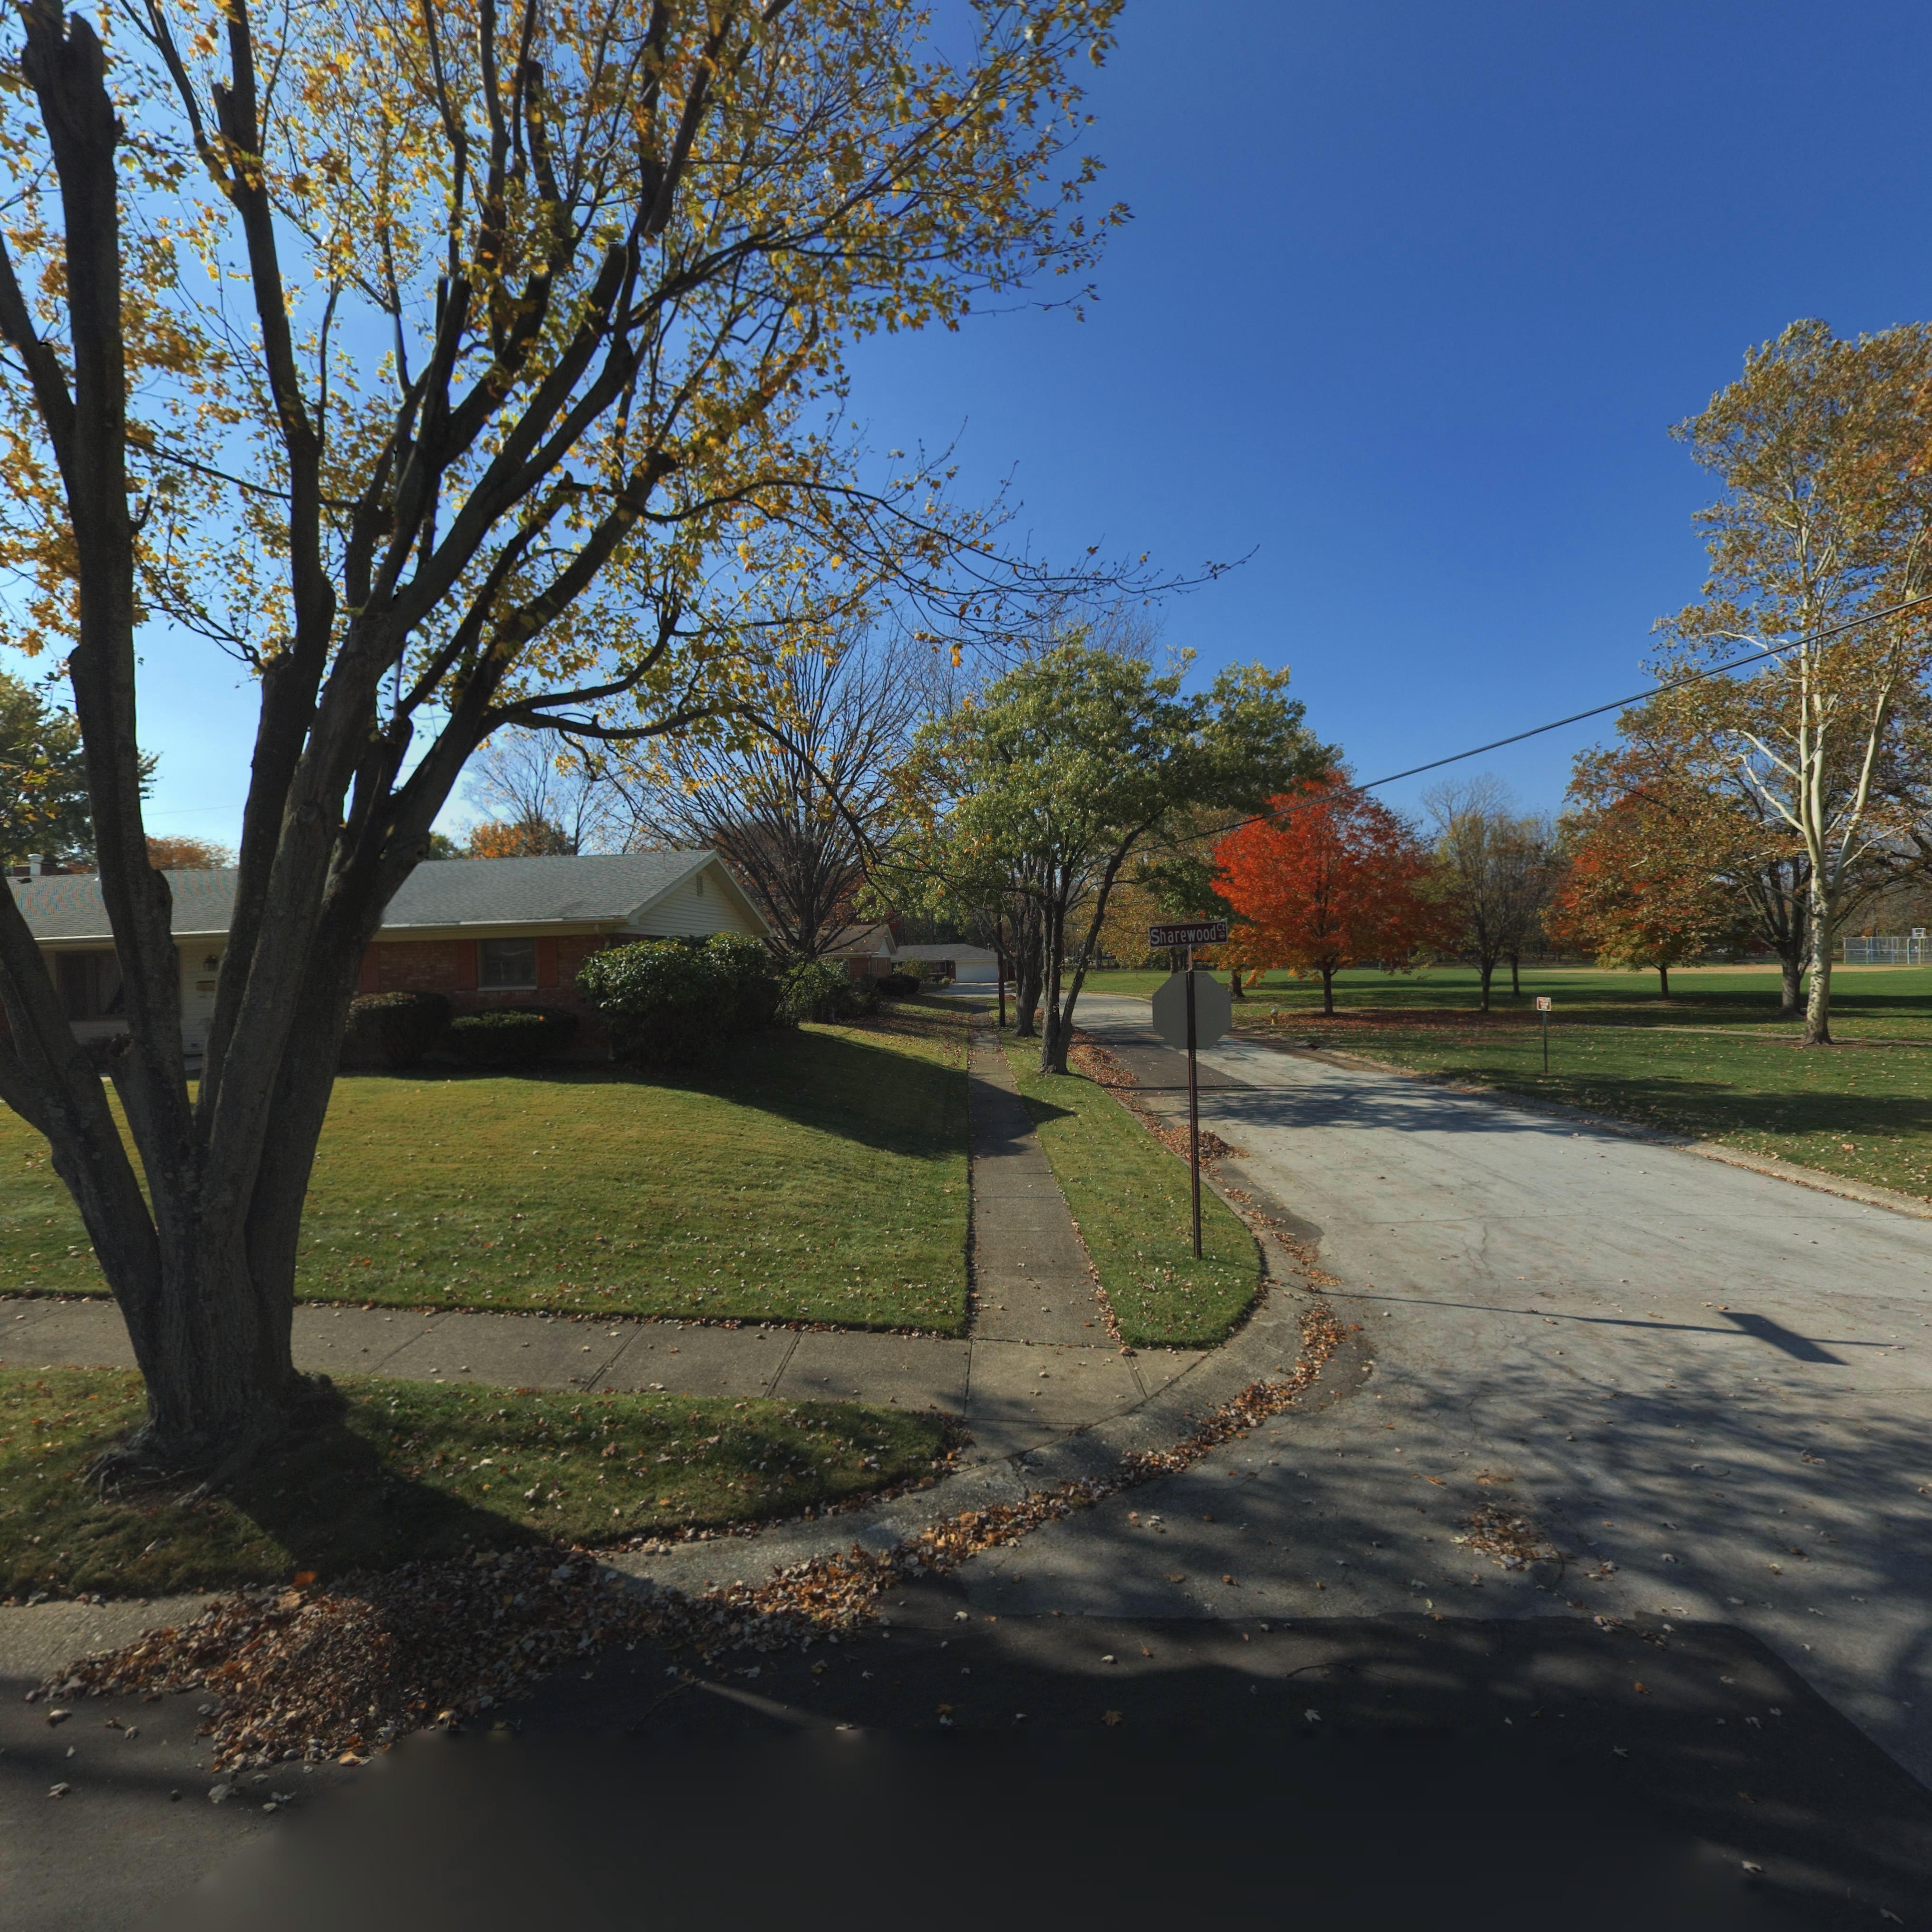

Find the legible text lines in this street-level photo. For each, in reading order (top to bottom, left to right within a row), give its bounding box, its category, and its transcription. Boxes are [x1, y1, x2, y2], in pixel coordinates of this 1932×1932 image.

[1149, 921, 1227, 946] StreetName: Sharewood Ct